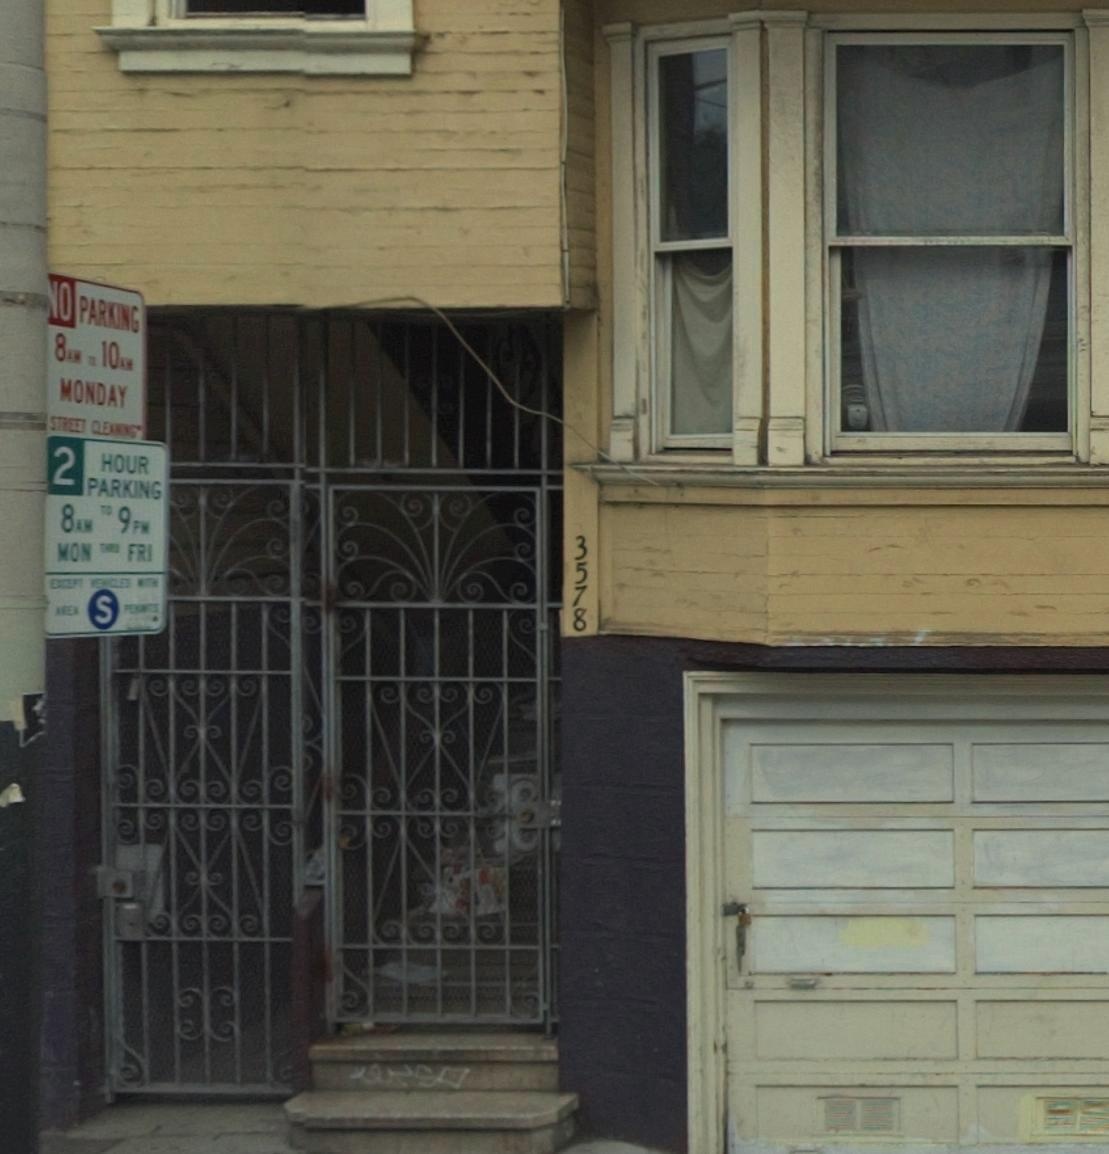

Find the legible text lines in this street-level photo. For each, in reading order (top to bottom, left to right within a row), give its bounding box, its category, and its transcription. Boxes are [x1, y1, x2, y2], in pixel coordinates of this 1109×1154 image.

[59, 279, 141, 334] None: O PARKING
[52, 331, 83, 367] None: 8AM
[100, 339, 134, 373] None: 10AM
[58, 375, 130, 411] None: MONDAY
[47, 414, 138, 440] None: STREET CLEANING
[51, 443, 76, 486] None: 2
[99, 451, 151, 476] None: HOUR
[86, 476, 163, 502] None: PARKING
[59, 502, 94, 536] None: 8AM
[117, 505, 151, 537] None: 9PM
[54, 541, 93, 564] None: MON
[126, 541, 154, 565] None: FRI
[571, 534, 590, 633] StreetNumber: 3578
[92, 593, 114, 625] None: S